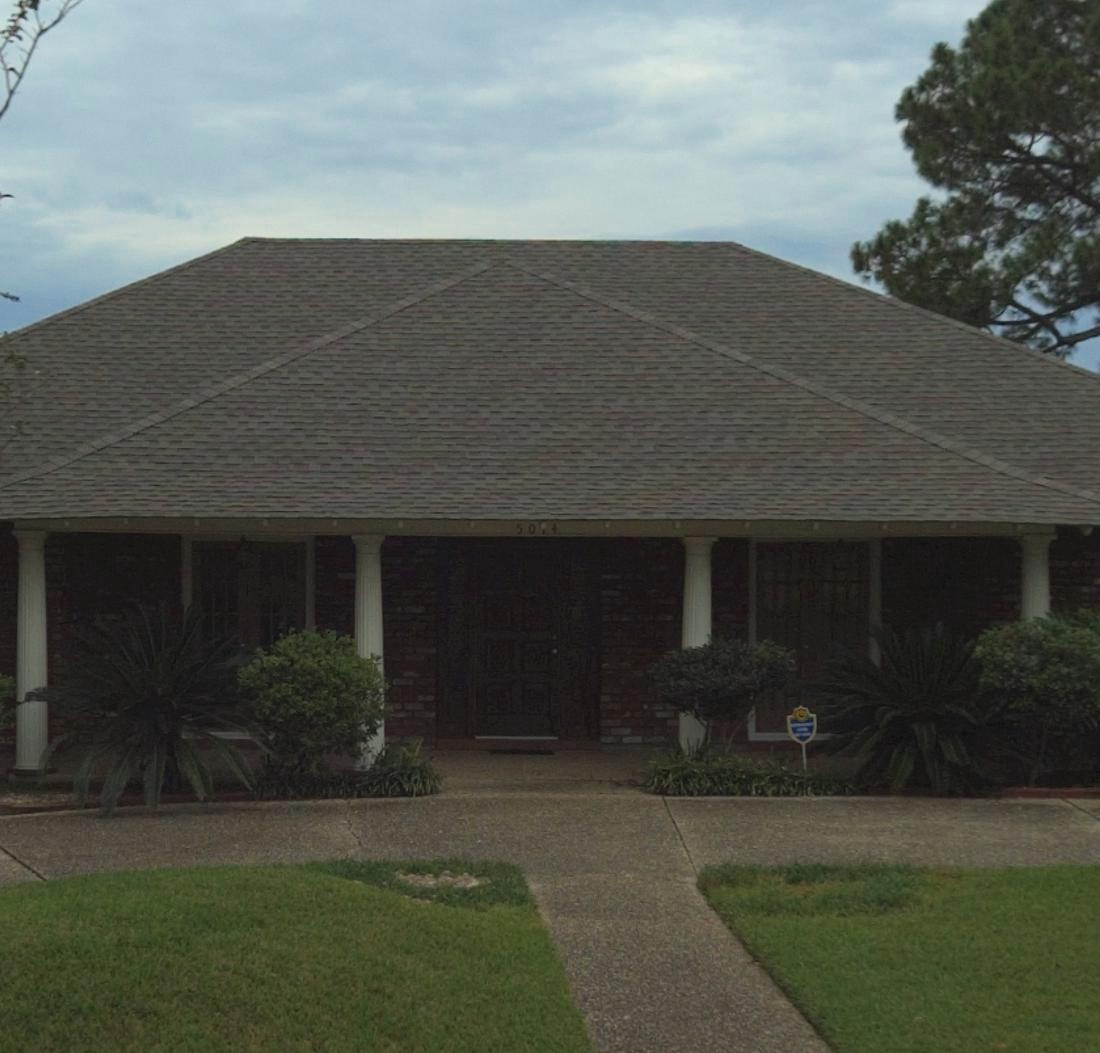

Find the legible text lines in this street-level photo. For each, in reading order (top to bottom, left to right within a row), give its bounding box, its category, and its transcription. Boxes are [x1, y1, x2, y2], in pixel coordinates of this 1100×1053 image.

[515, 522, 558, 535] StreetNumber: 5014